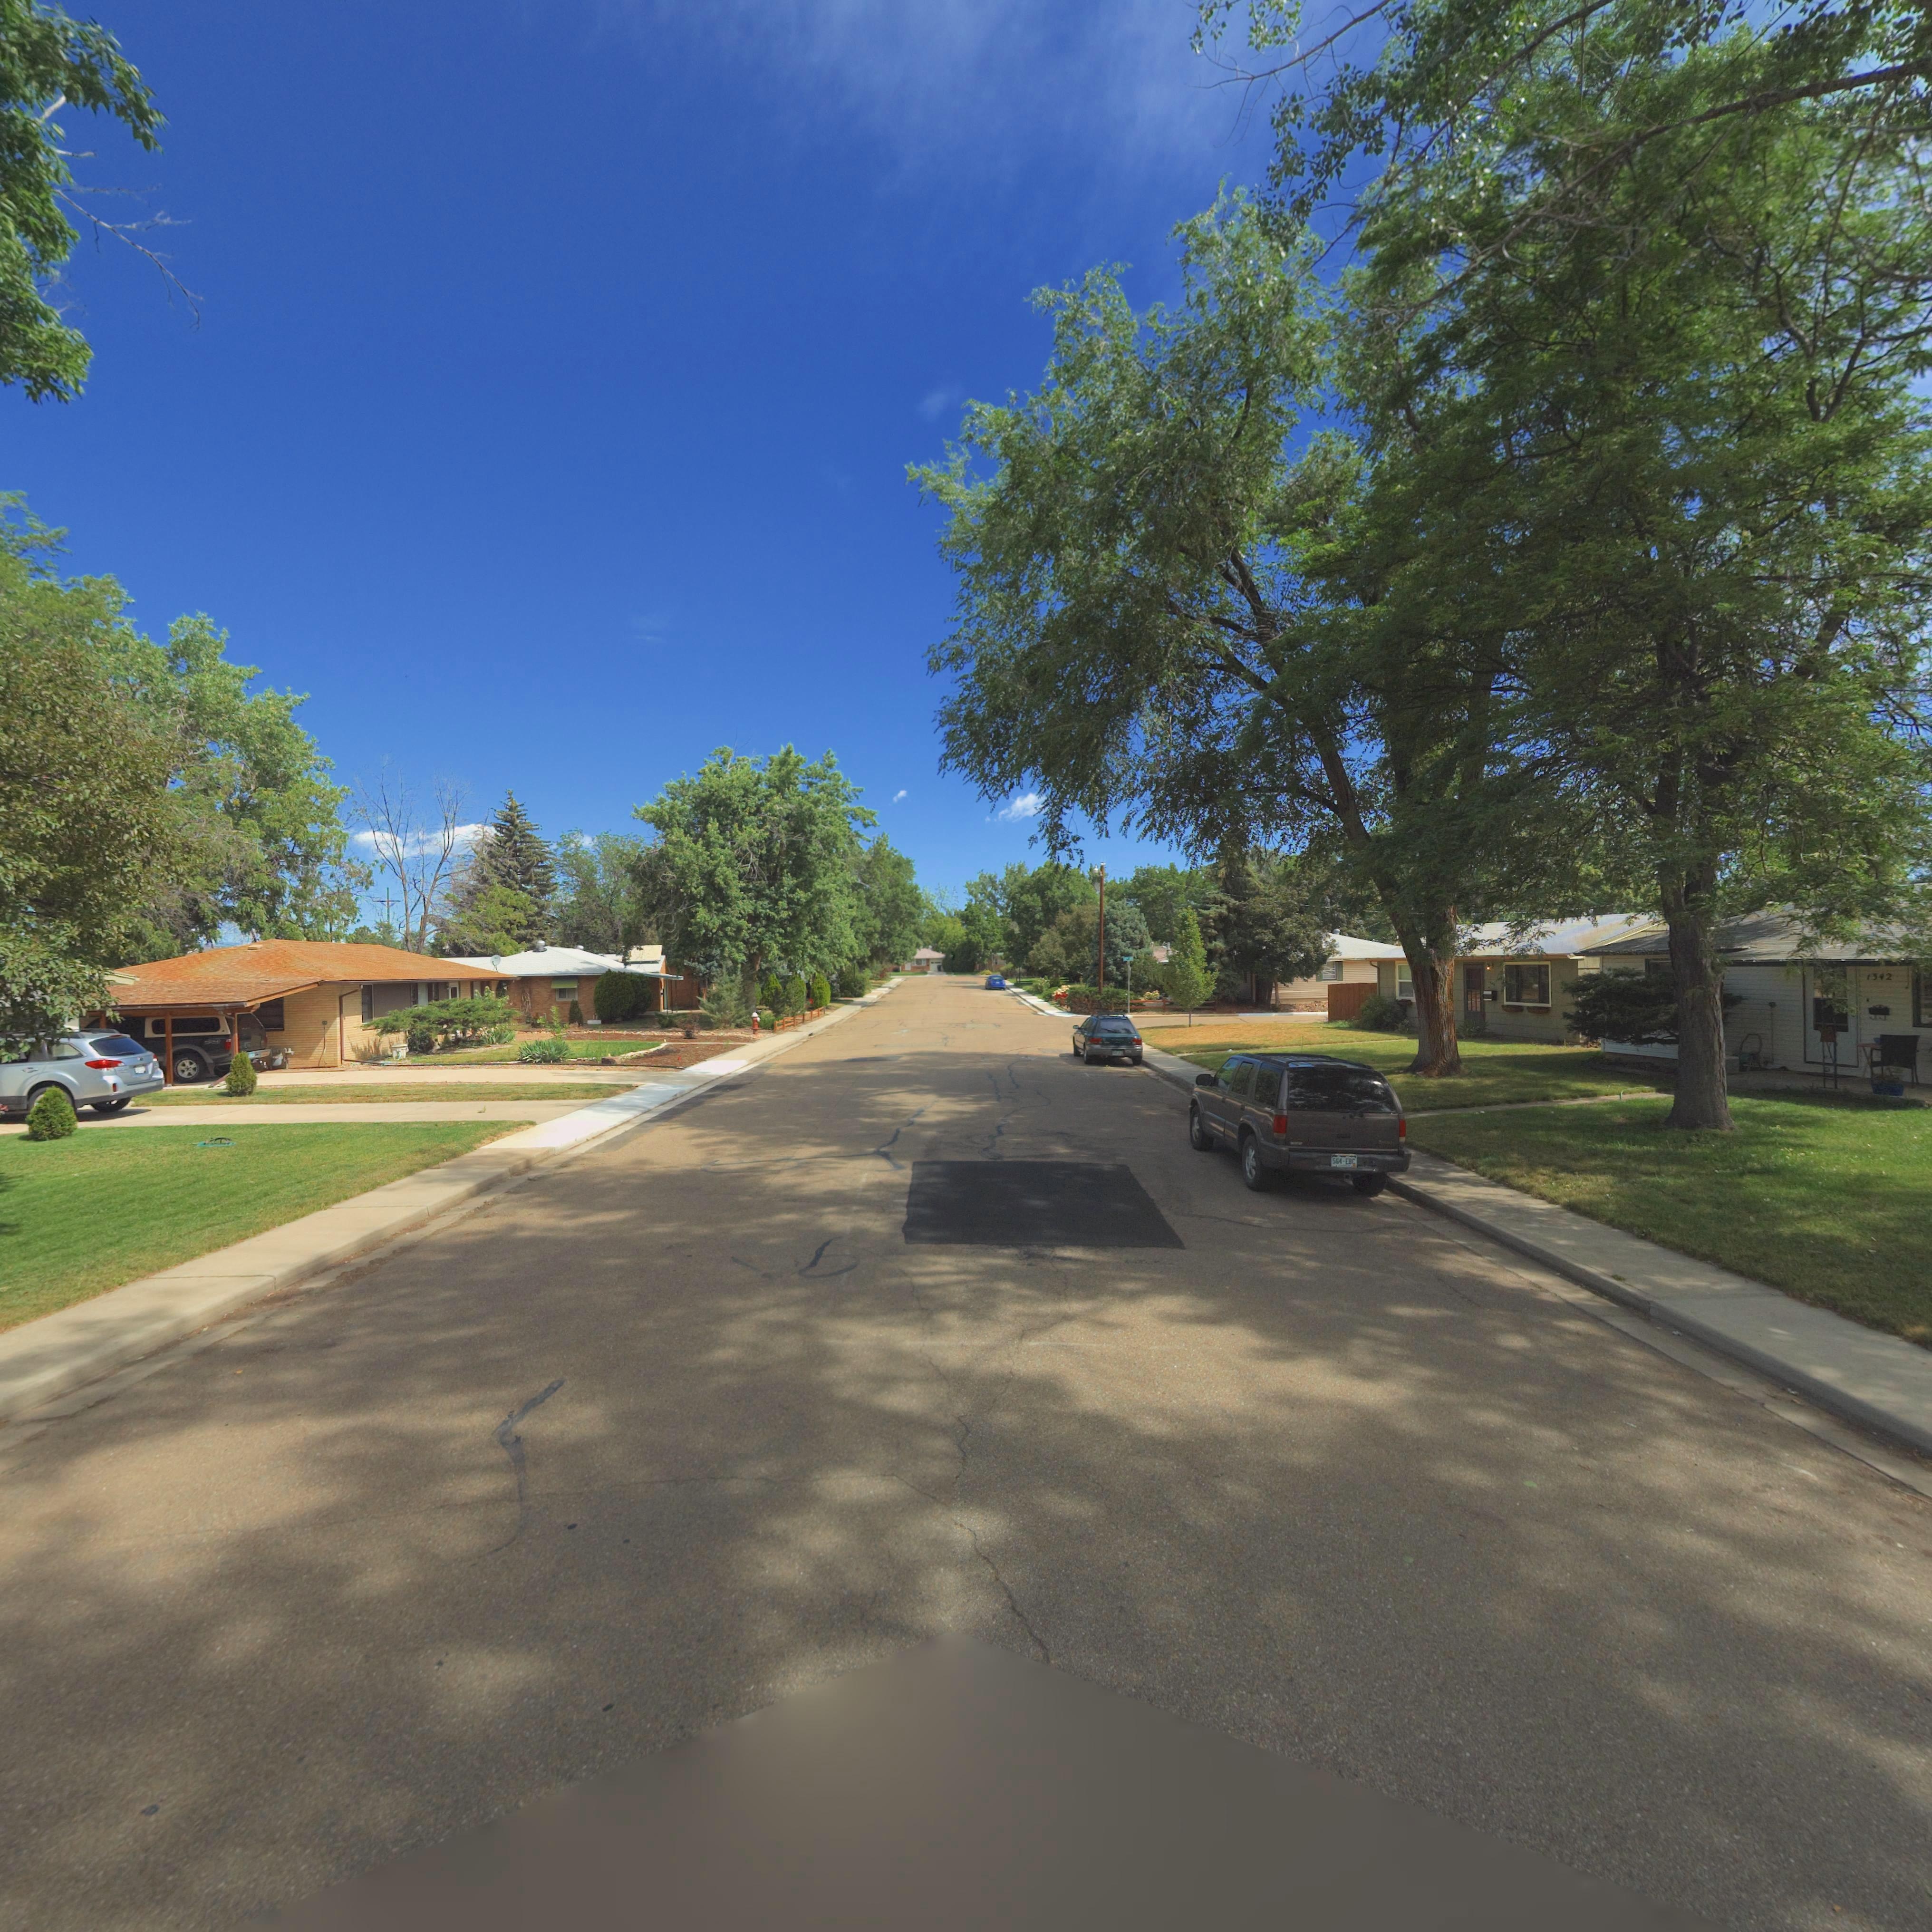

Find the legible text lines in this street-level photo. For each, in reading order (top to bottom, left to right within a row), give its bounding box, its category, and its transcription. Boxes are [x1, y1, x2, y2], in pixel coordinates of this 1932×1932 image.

[1123, 956, 1129, 961] StreetName: 14**
[1865, 971, 1893, 981] StreetNumber: 1342